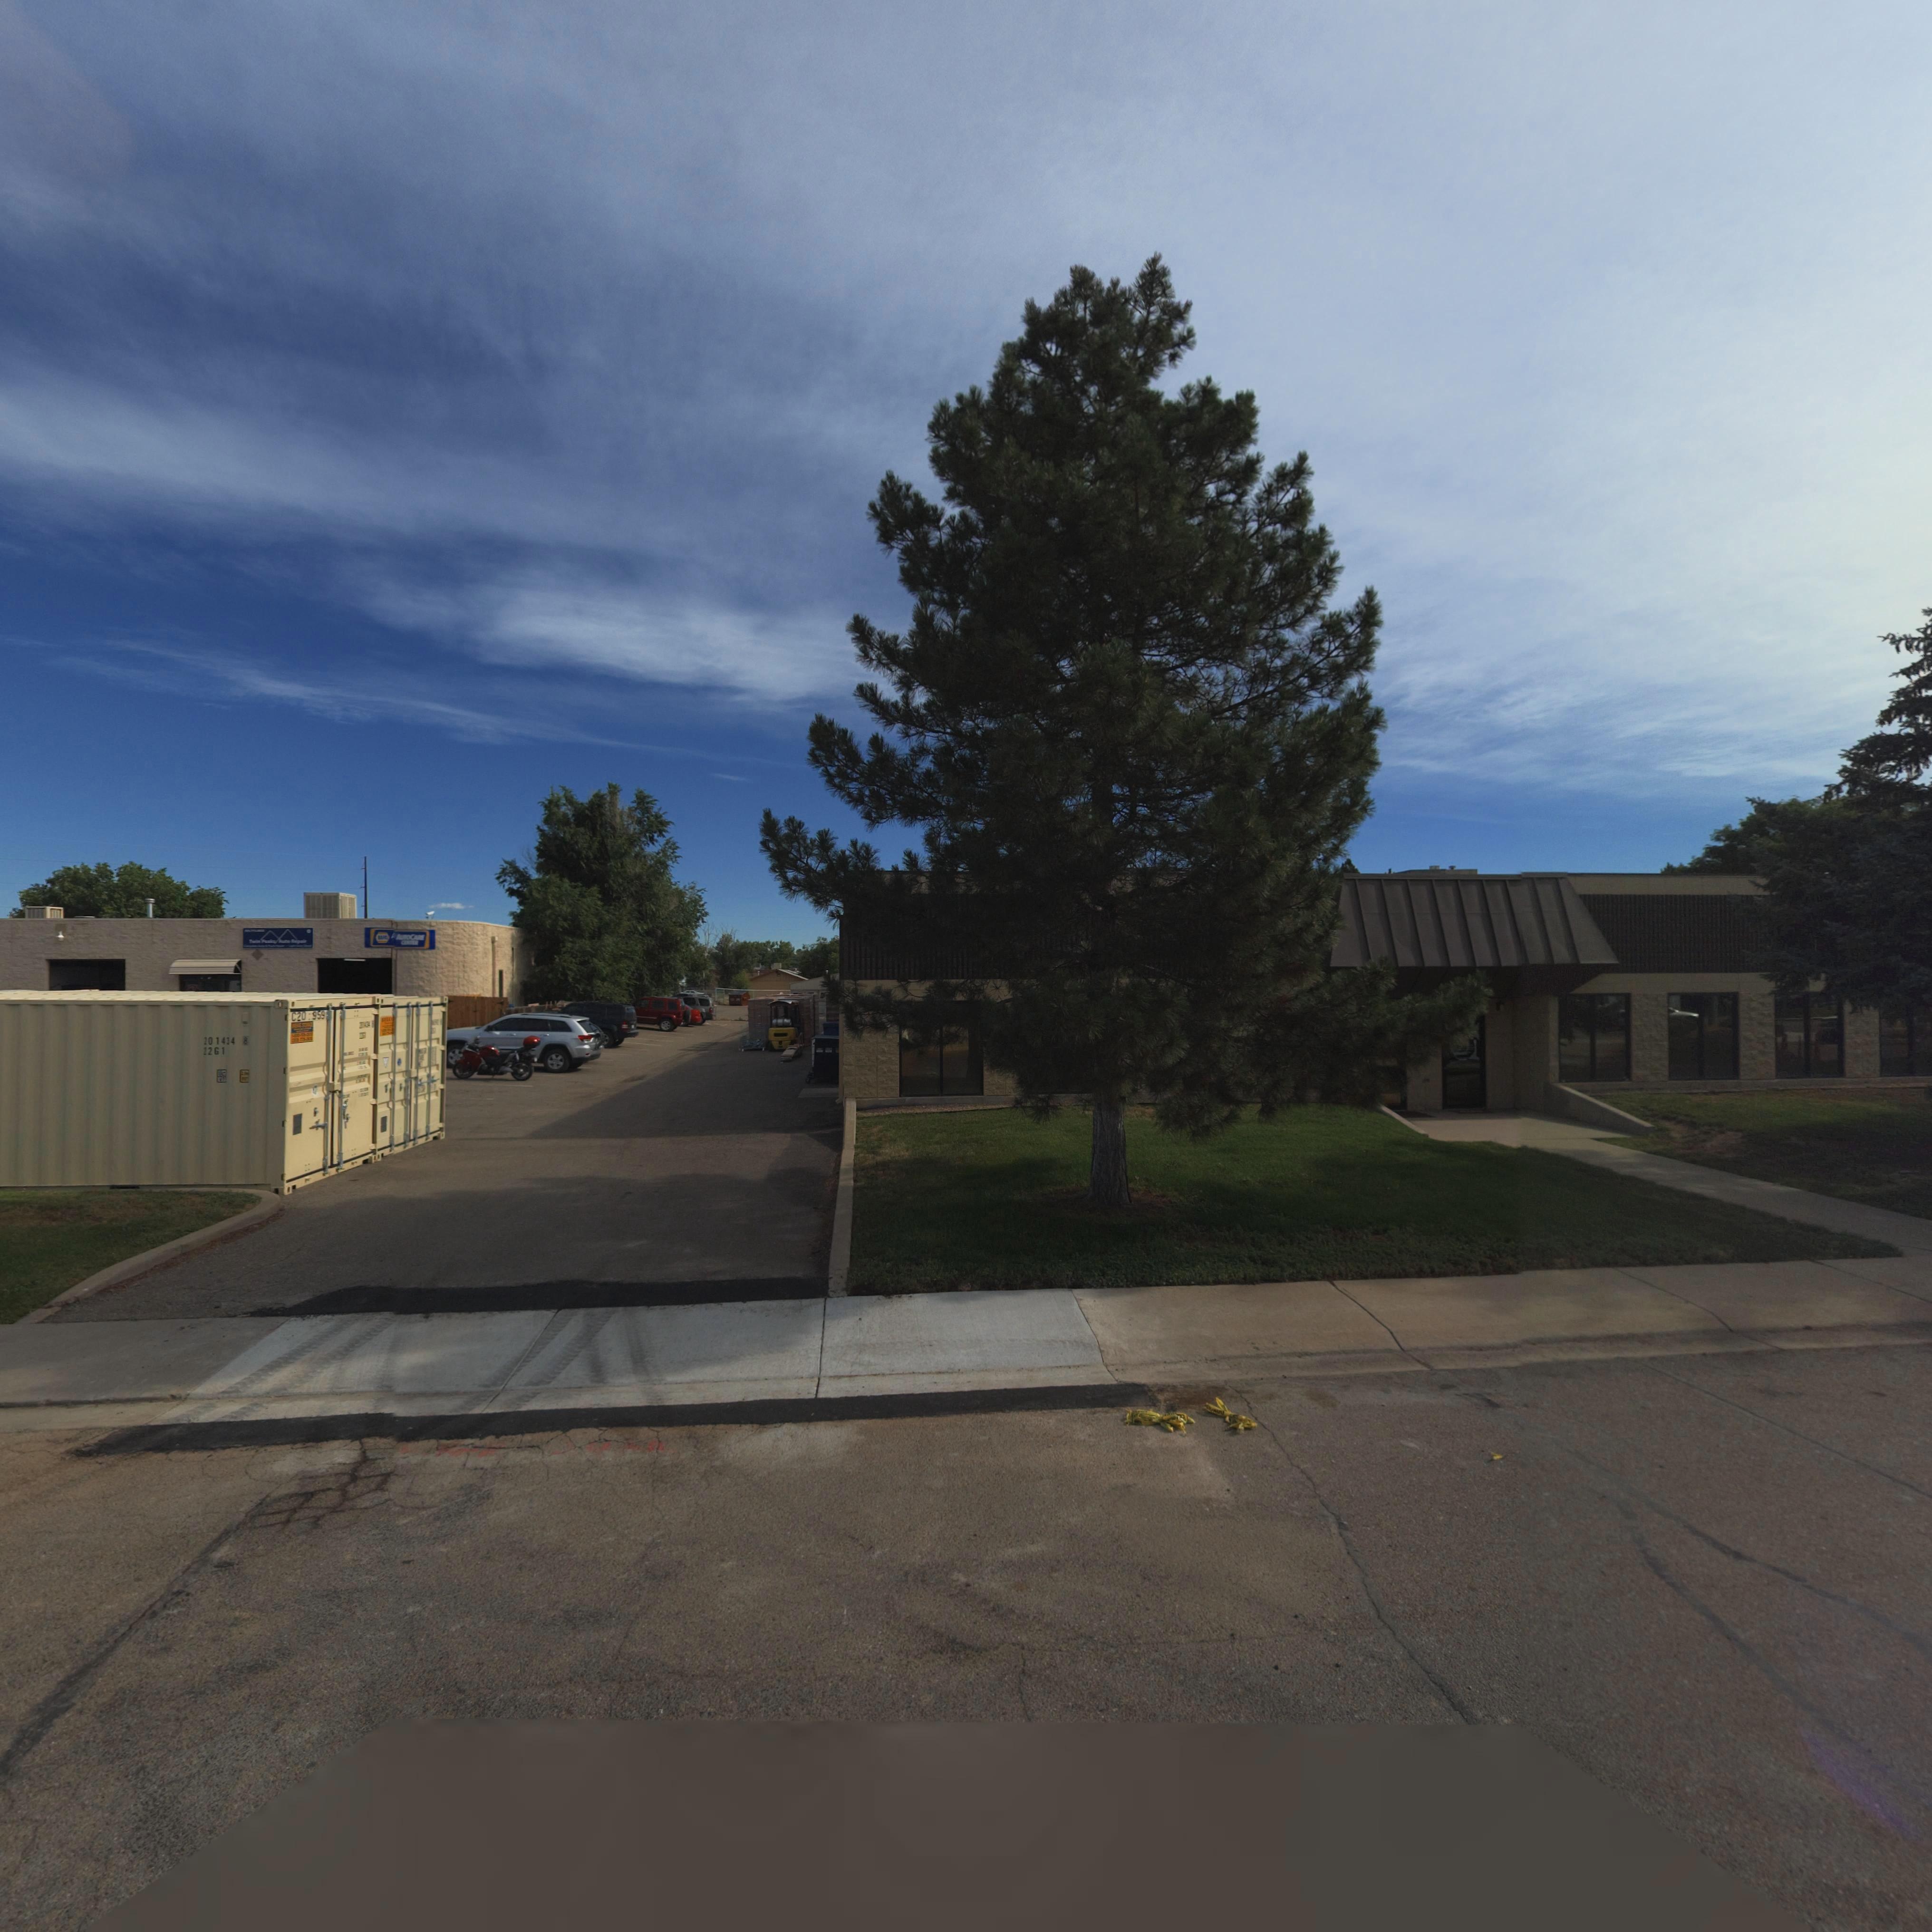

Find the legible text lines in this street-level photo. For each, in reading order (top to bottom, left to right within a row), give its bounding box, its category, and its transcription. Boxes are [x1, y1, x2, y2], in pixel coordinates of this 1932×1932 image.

[378, 935, 387, 940] BusinessName: **P*
[395, 933, 424, 940] BusinessName: AU*OCAR*
[400, 940, 418, 945] BusinessName: C****R